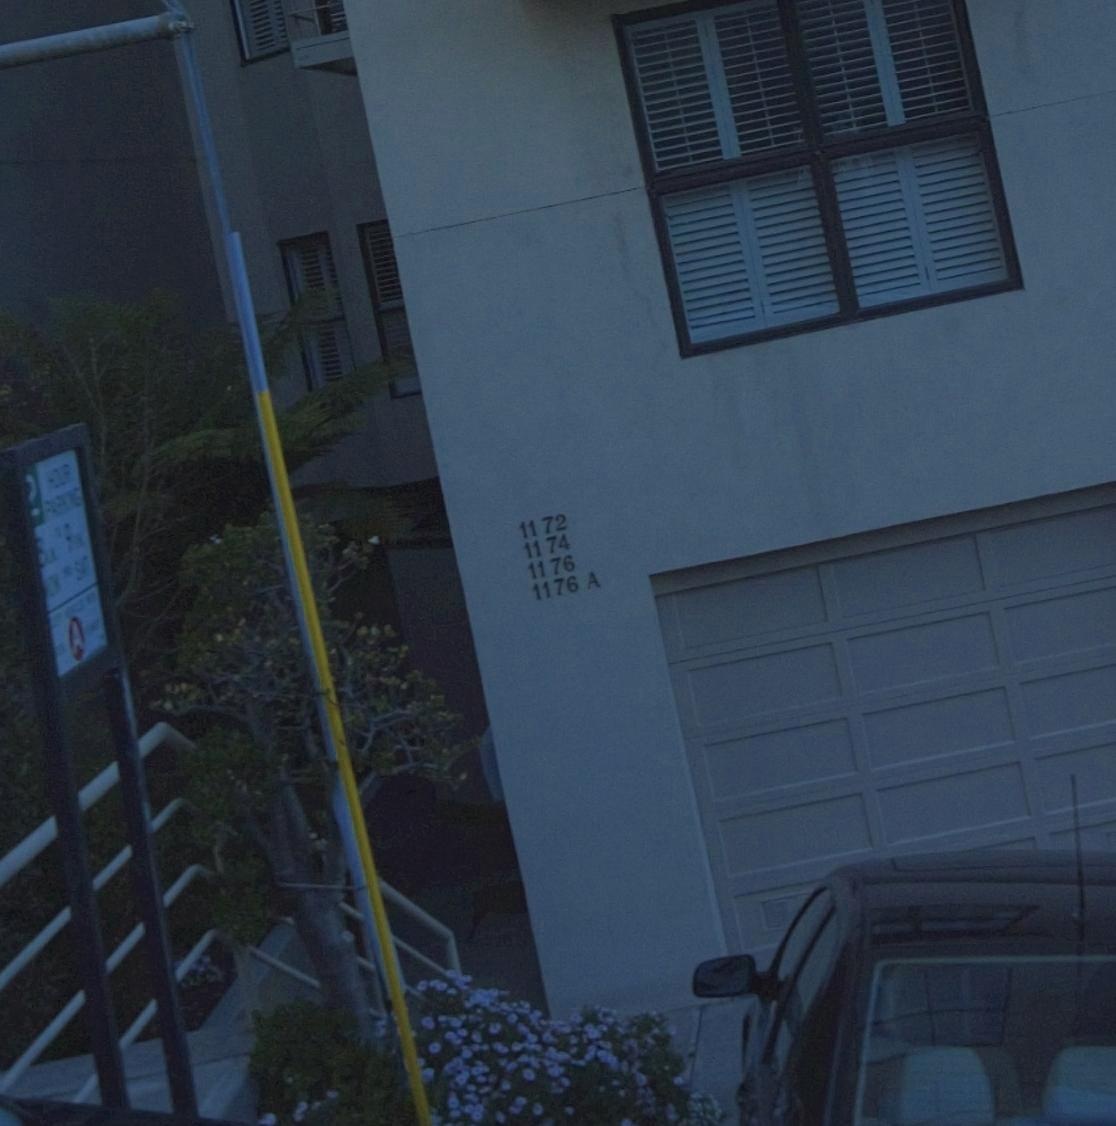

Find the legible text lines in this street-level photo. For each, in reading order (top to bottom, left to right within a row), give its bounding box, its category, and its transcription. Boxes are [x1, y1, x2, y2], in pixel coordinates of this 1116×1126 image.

[42, 460, 75, 495] None: HOUR
[43, 485, 84, 523] None: PARKING
[34, 536, 48, 571] None: 8
[60, 521, 75, 557] None: 9
[72, 553, 91, 584] None: SAT
[517, 511, 570, 541] StreetNumber: 1172
[520, 532, 573, 561] StreetNumber: 1174
[524, 552, 578, 582] StreetNumber: 1176
[531, 570, 603, 602] StreetNumber: 1176A
[70, 619, 87, 657] None: A